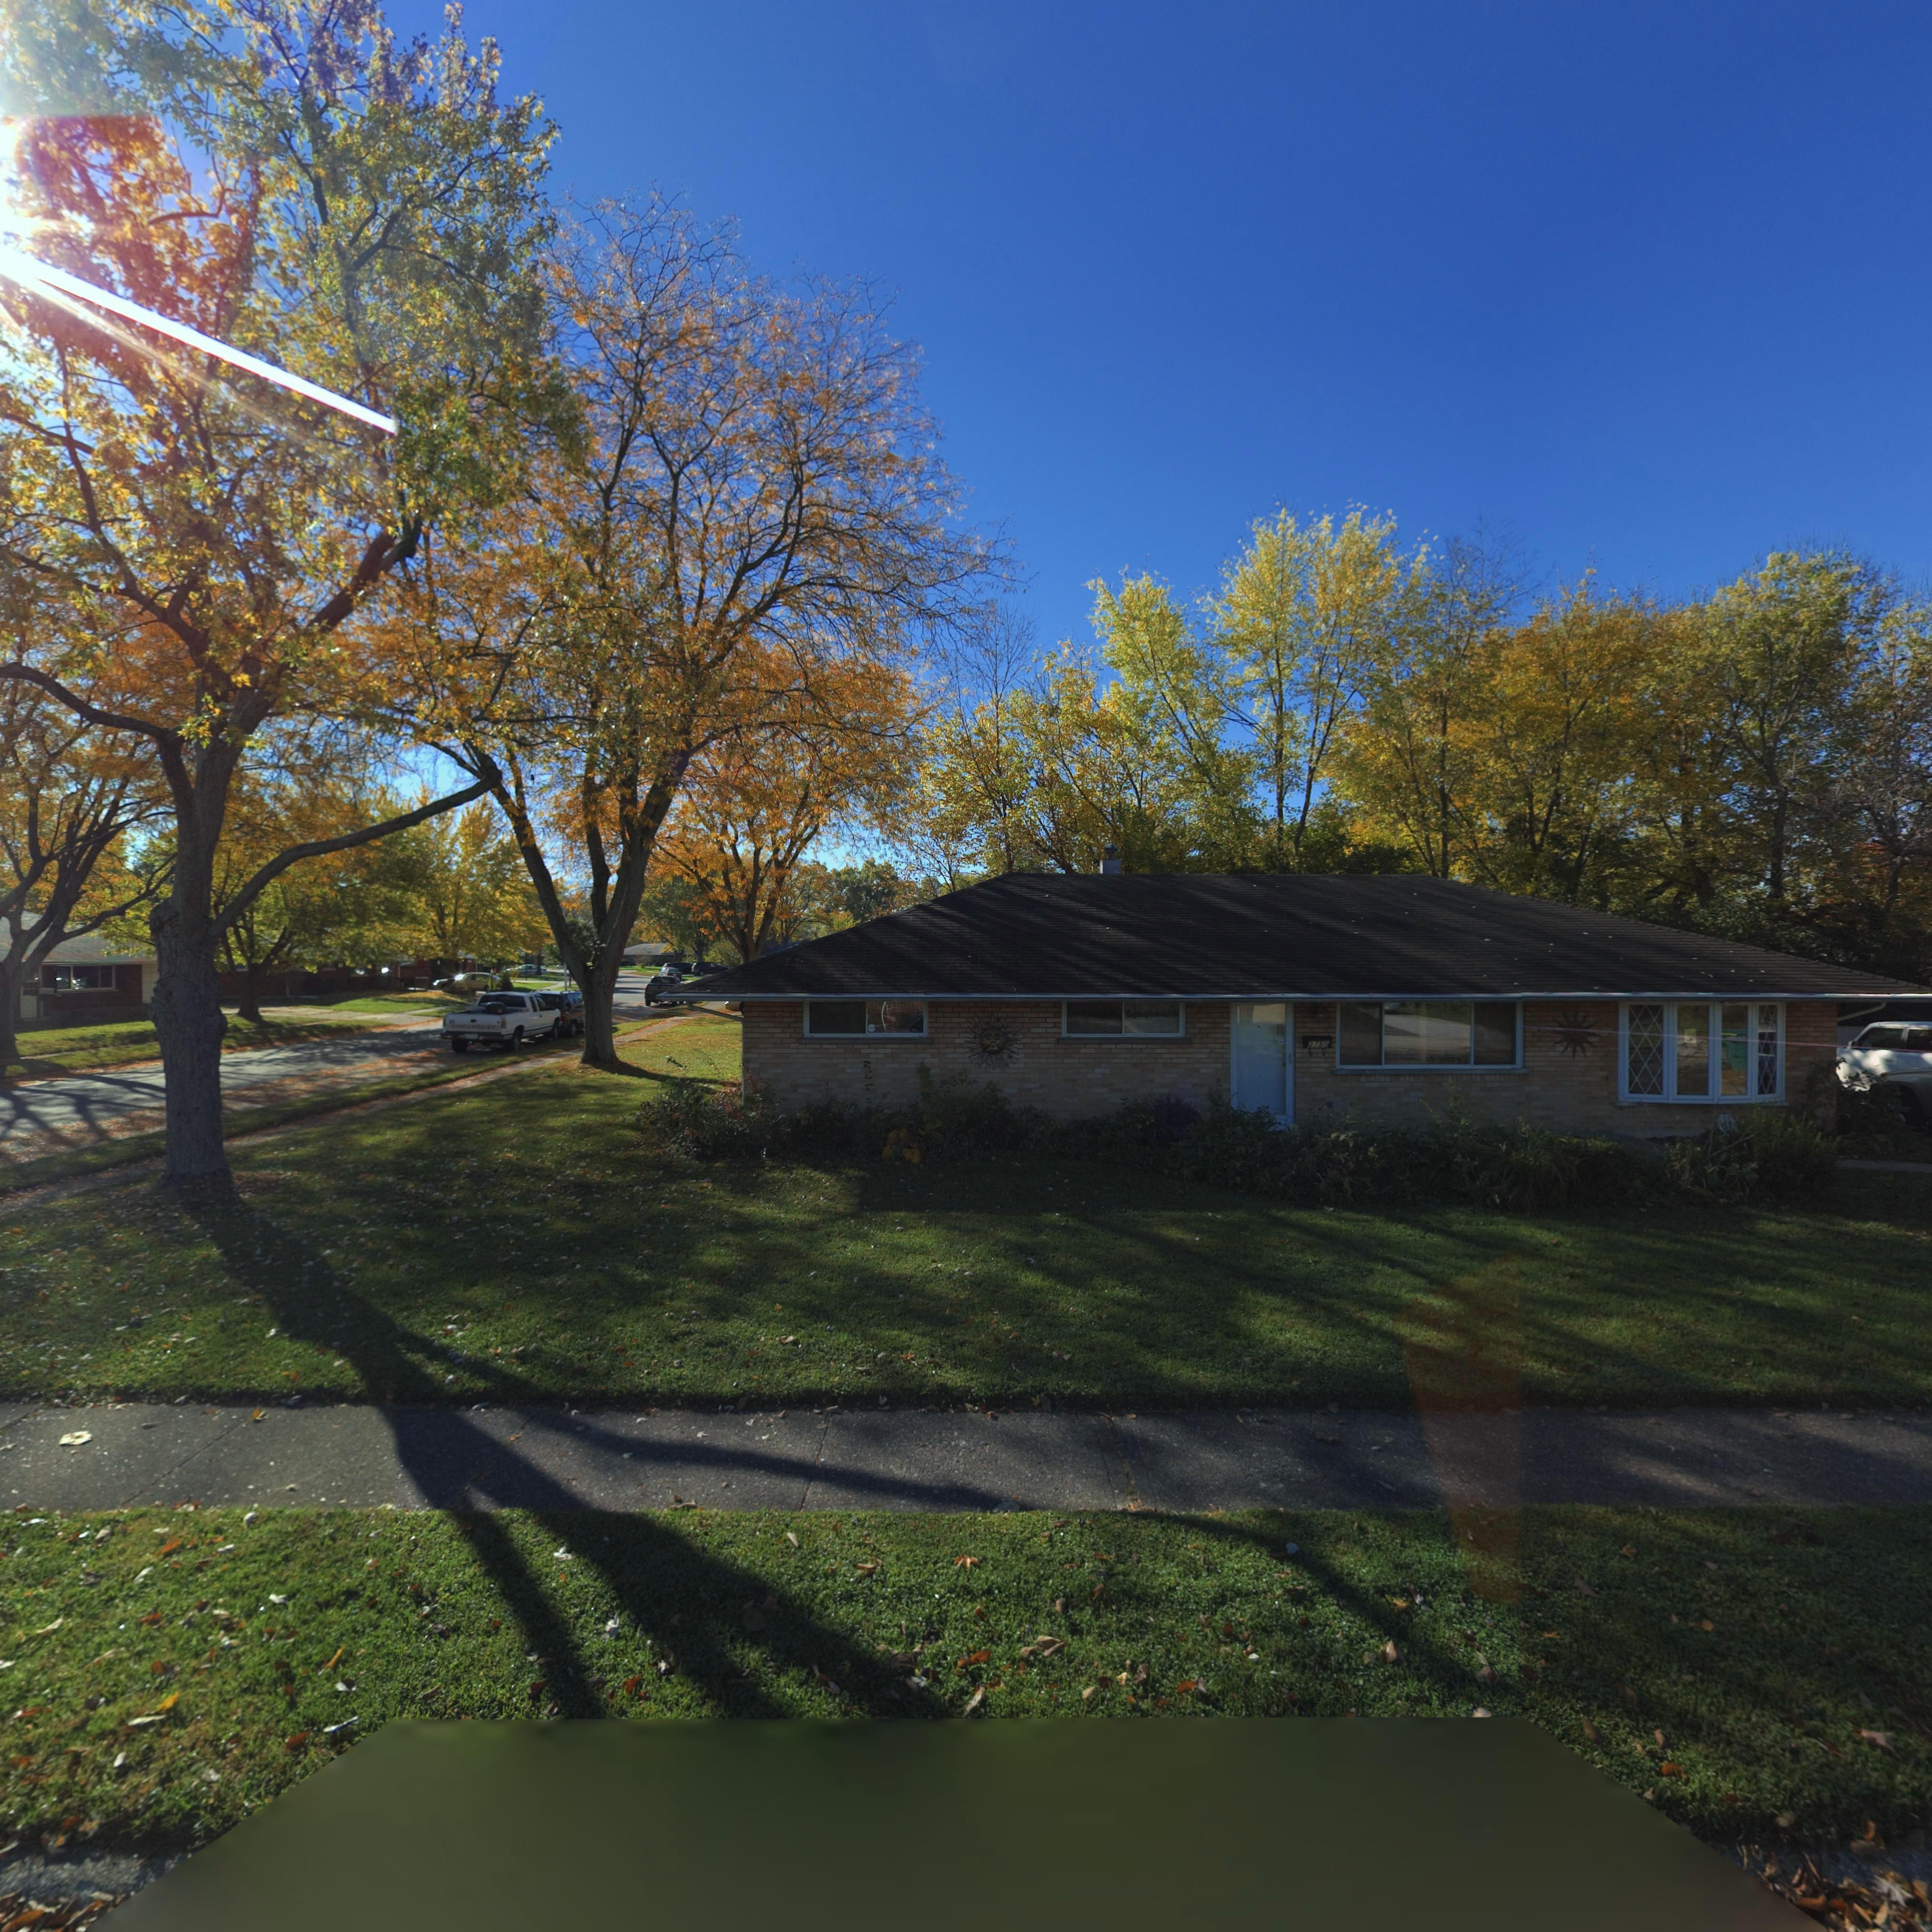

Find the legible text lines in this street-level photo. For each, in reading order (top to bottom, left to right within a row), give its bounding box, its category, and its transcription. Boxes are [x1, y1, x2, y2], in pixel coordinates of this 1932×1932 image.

[1308, 1041, 1328, 1047] StreetNumber: 2750